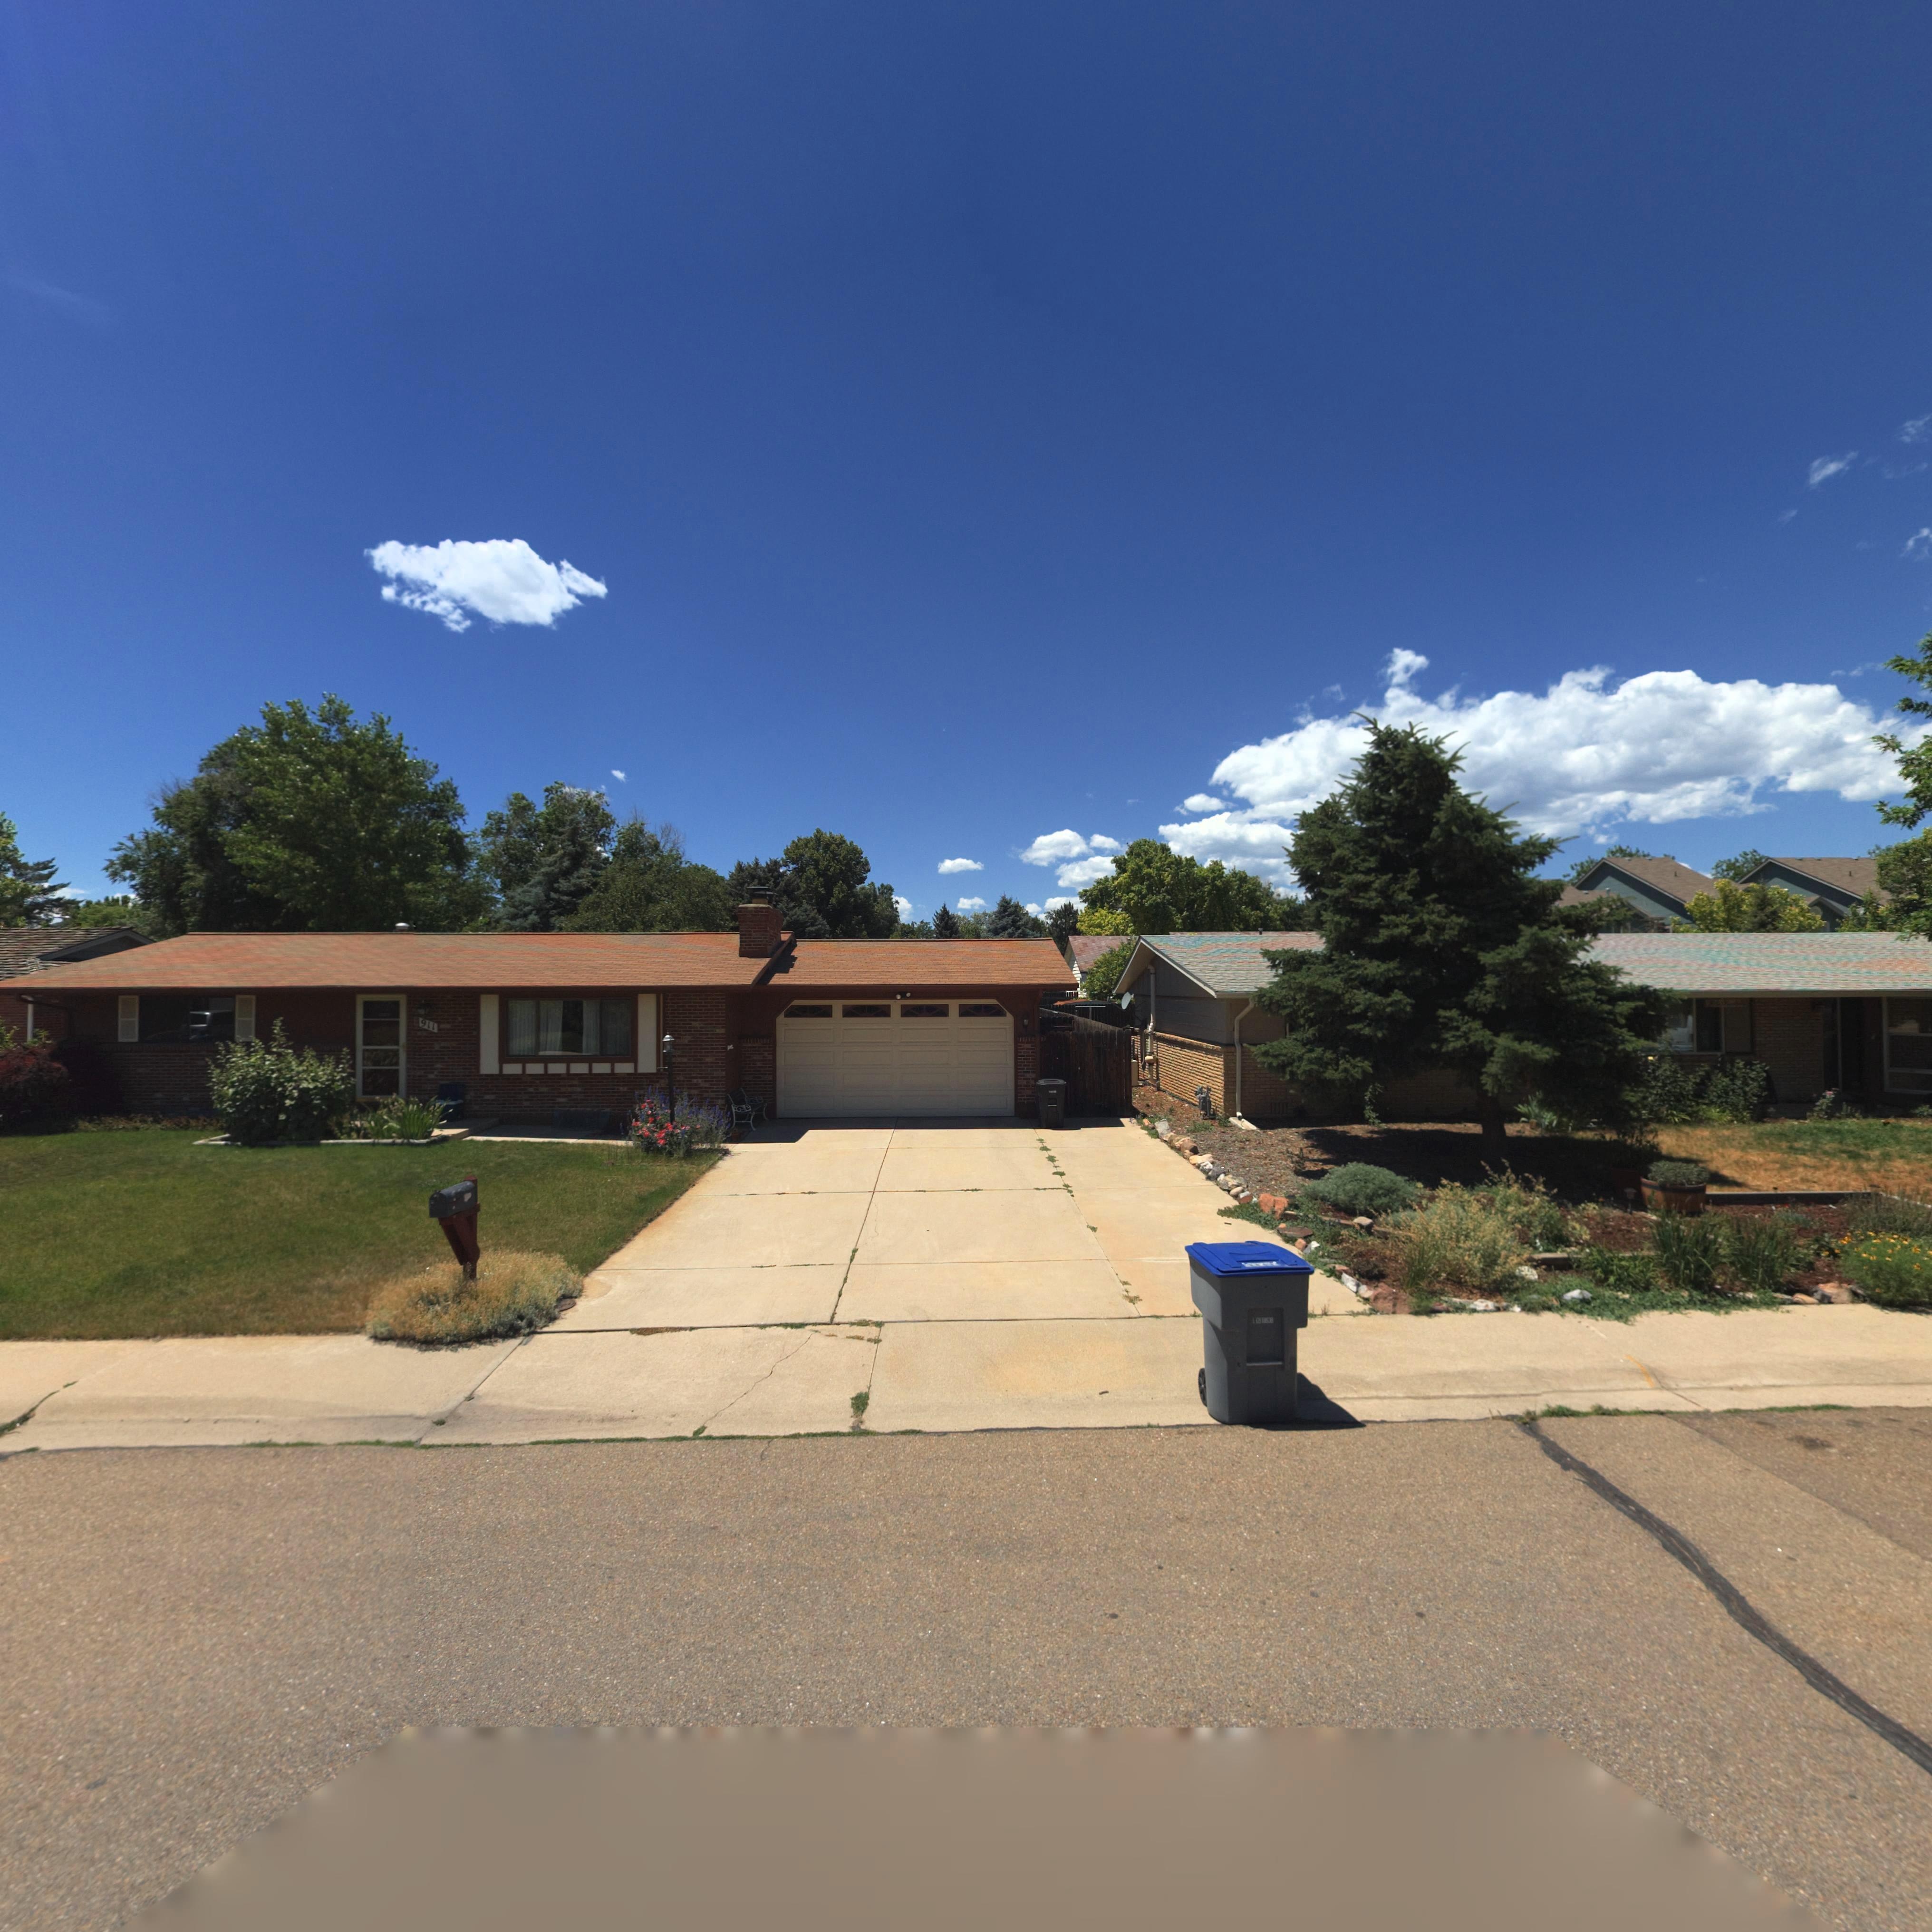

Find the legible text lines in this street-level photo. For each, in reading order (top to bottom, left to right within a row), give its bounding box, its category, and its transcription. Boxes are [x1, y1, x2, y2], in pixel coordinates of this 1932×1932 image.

[421, 1018, 435, 1031] StreetNumber: 911